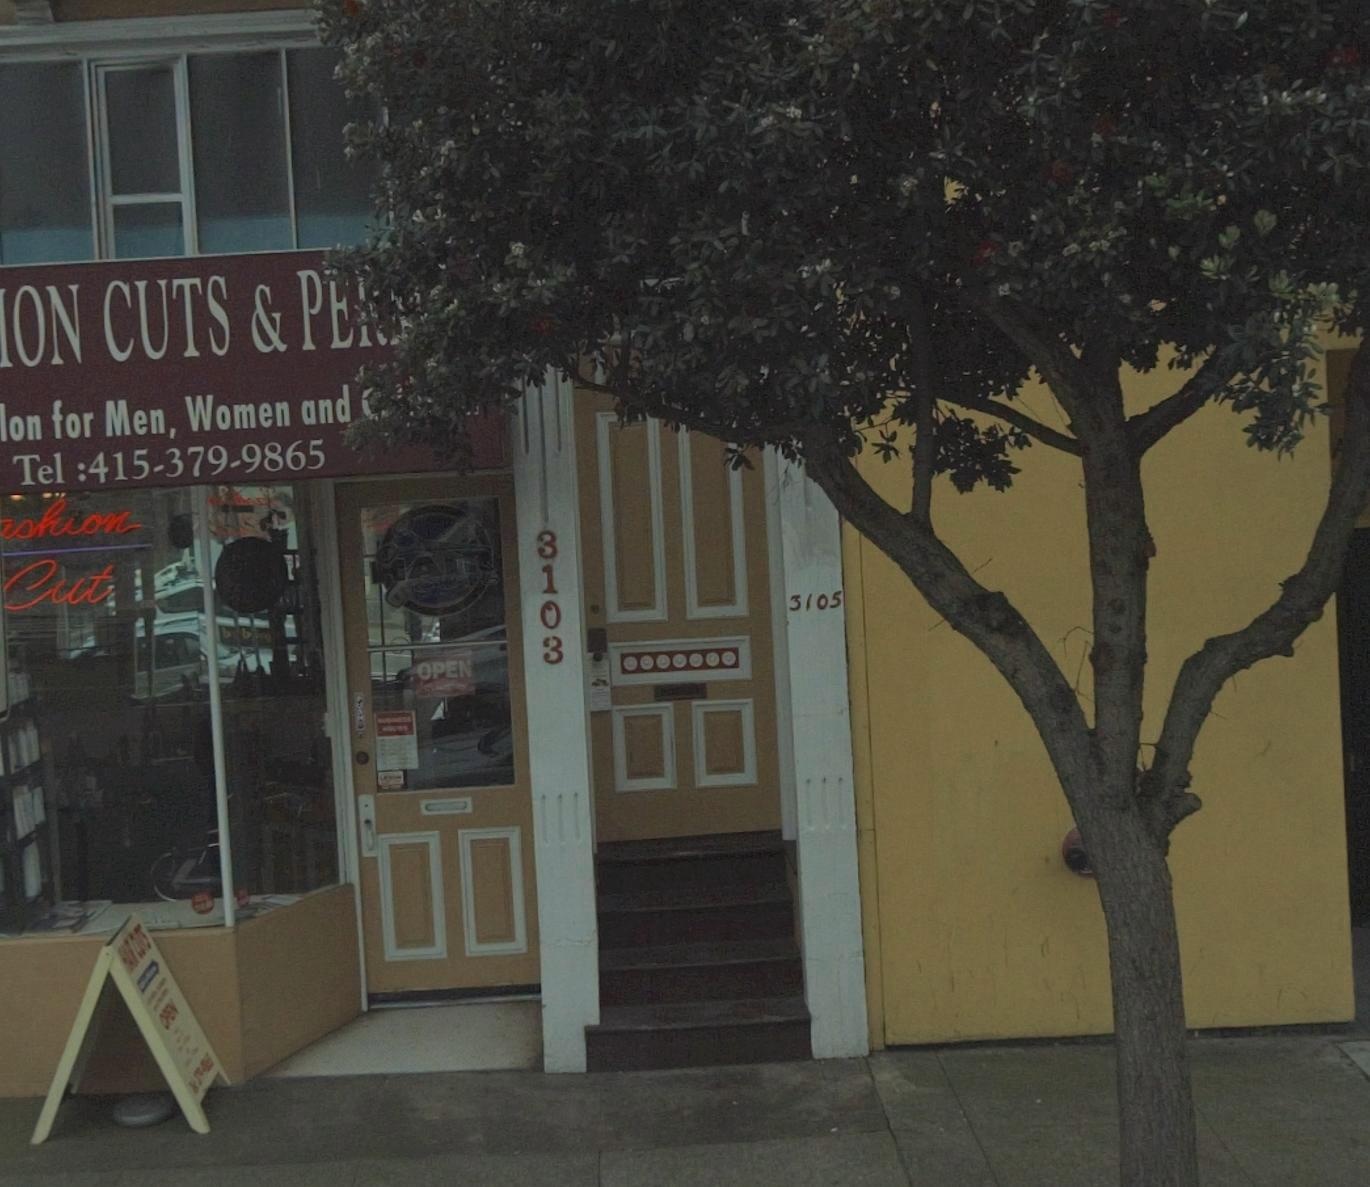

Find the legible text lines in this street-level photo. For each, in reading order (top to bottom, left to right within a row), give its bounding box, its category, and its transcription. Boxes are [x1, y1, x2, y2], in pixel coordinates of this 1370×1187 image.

[0, 254, 471, 371] BusinessName: *ON CUTS & P****
[0, 378, 487, 449] None: lon for Men, Women and ********
[10, 434, 330, 490] None: Tel:415-379-9865
[0, 493, 151, 543] None: *shion
[0, 555, 120, 614] None: Cut
[370, 549, 495, 586] None: HAIR
[535, 528, 566, 666] StreetNumber: 3103
[786, 587, 843, 614] StreetNumber: 3105
[415, 658, 474, 682] None: OPEN
[114, 921, 154, 976] None: HAIR CUTS
[156, 992, 181, 1032] None: OPEN